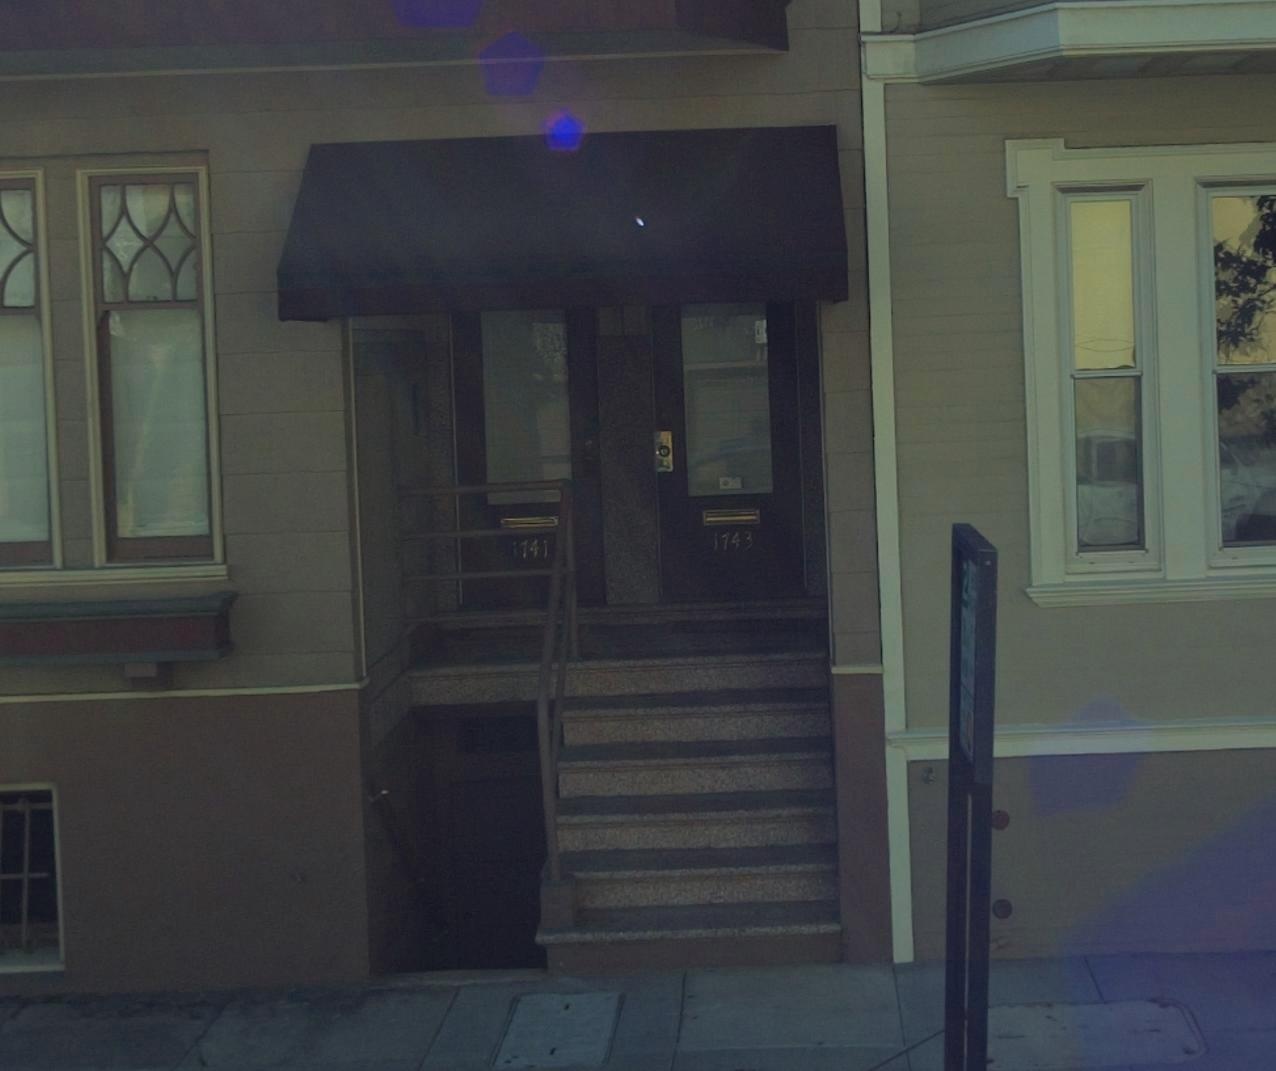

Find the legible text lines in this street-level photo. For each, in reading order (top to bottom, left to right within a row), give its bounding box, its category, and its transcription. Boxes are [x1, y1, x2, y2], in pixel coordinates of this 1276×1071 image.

[509, 537, 550, 561] StreetNumber: 1741
[711, 529, 756, 552] StreetNumber: 1743